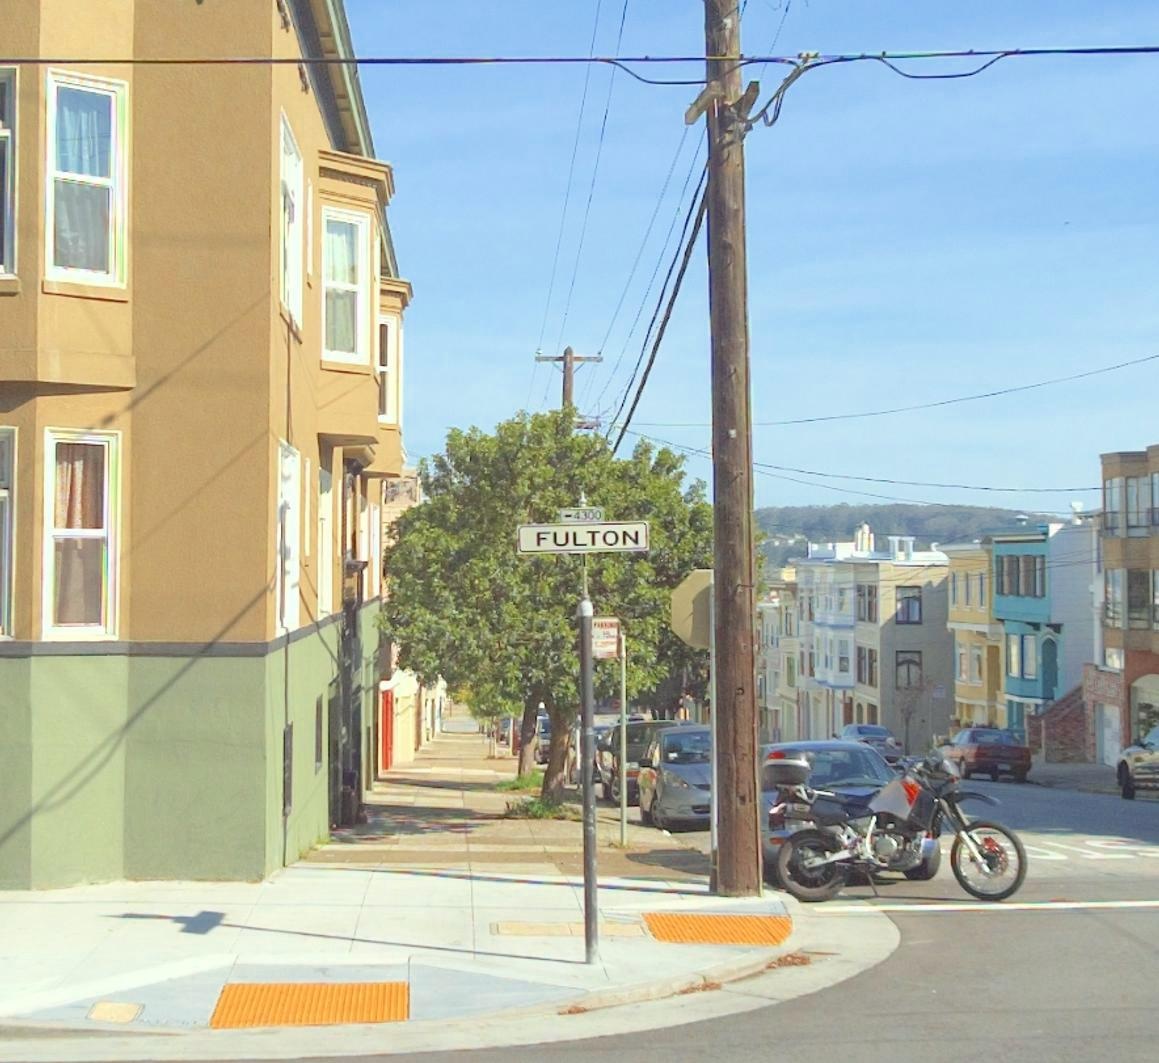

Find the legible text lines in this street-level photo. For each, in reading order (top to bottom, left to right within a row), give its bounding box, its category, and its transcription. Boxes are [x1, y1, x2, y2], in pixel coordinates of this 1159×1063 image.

[560, 506, 602, 522] StreetNumberRange: <-4300
[534, 525, 643, 550] StreetName: FULTON